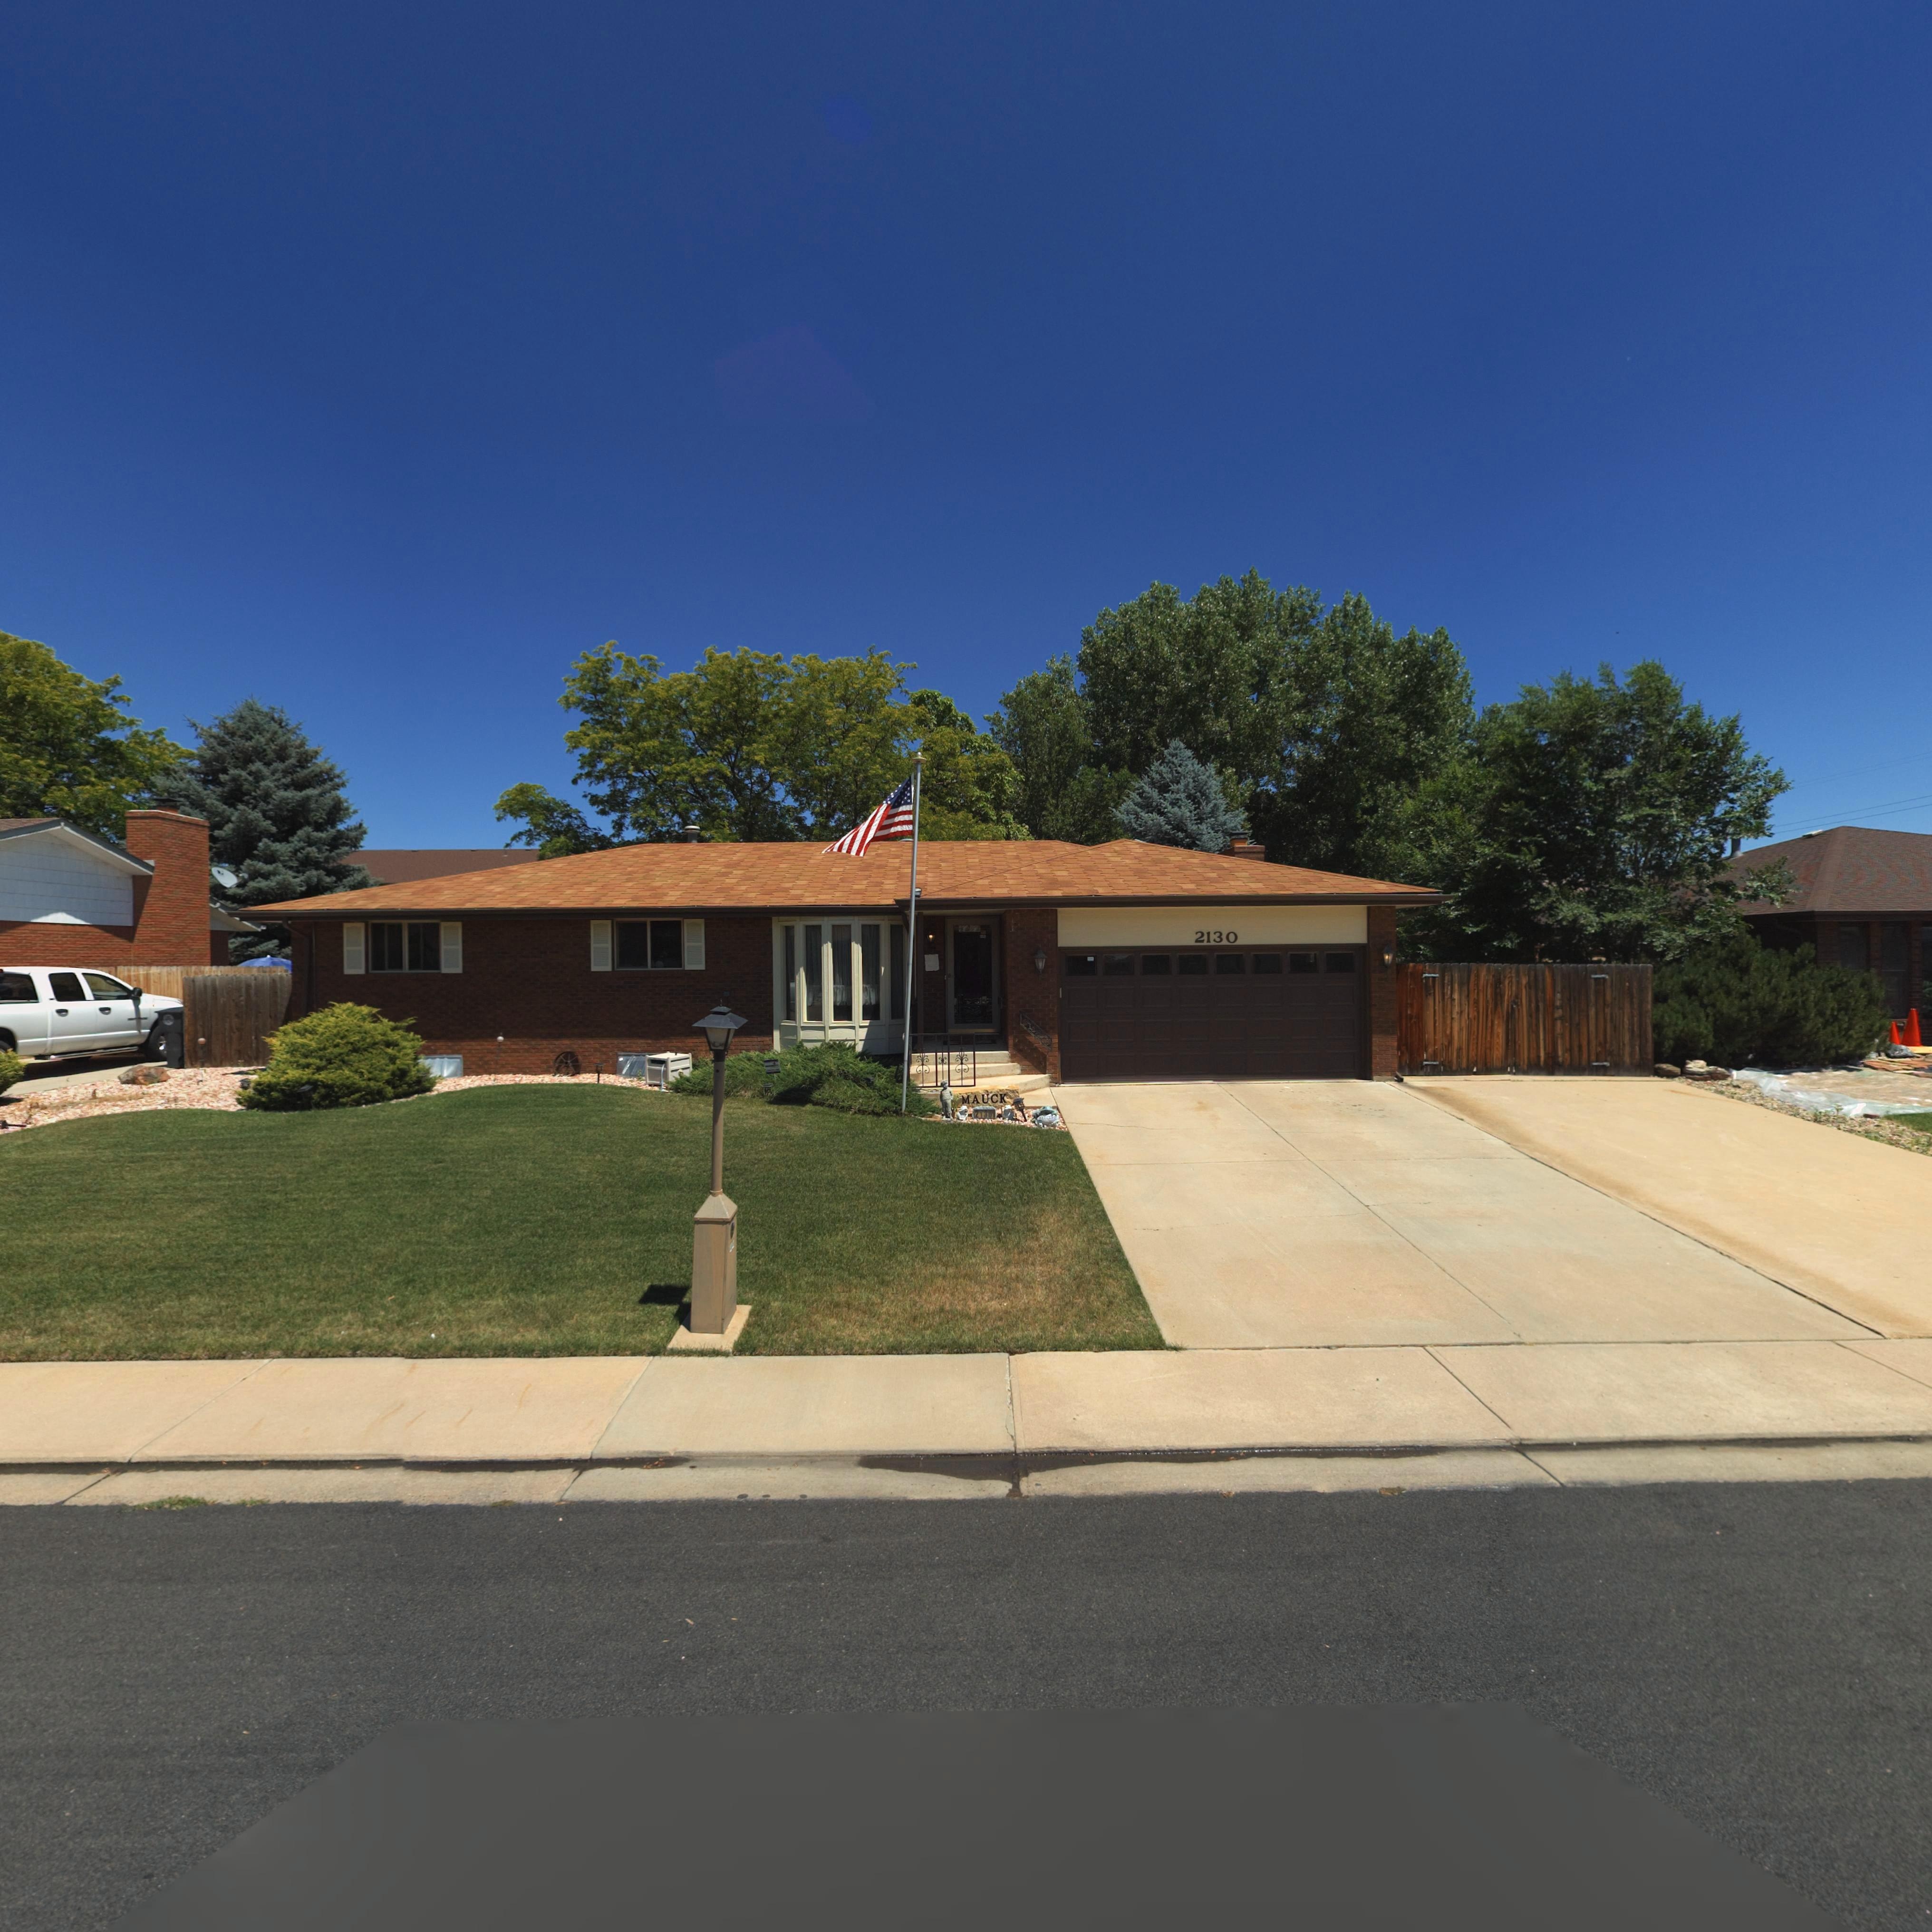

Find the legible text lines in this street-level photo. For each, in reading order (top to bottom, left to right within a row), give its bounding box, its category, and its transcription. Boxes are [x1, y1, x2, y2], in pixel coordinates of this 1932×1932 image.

[1194, 930, 1238, 944] StreetNumber: 2130
[975, 1110, 993, 1118] StreetNumber: 2130